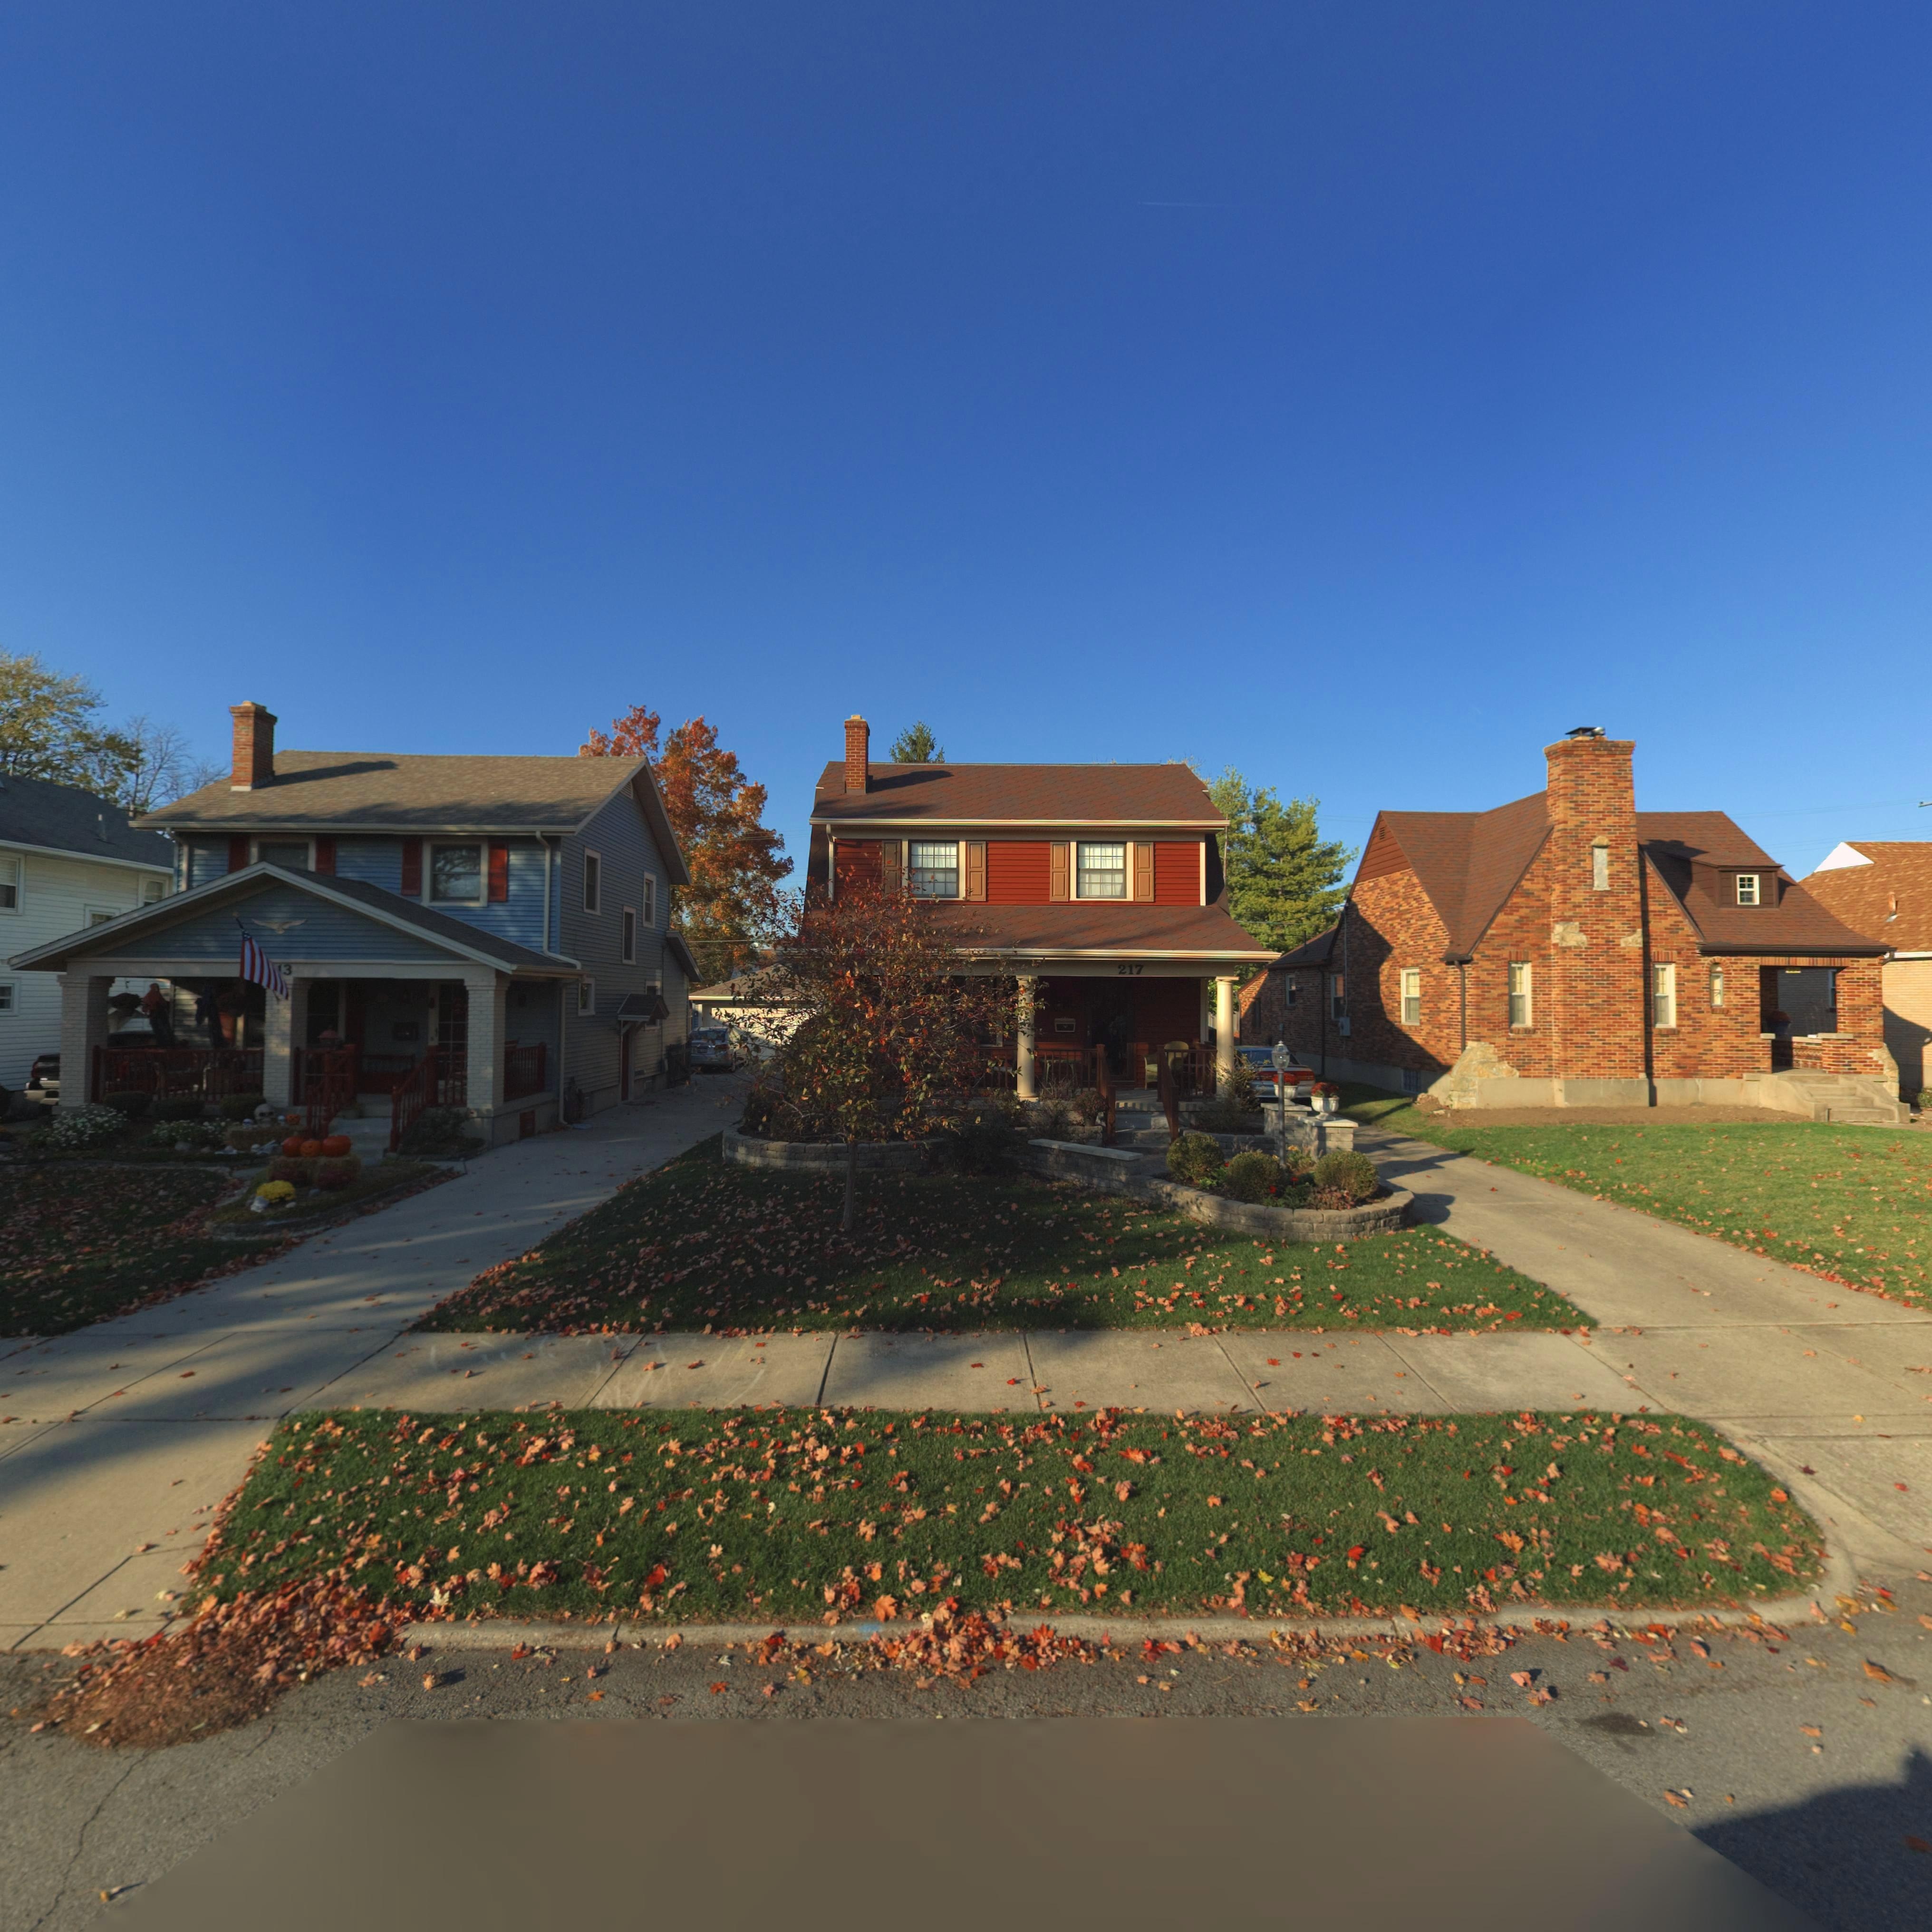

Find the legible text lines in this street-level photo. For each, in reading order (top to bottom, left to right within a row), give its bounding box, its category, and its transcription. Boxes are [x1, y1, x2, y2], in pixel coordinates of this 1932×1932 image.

[282, 964, 293, 976] StreetNumber: 3
[1118, 964, 1145, 975] StreetNumber: 217